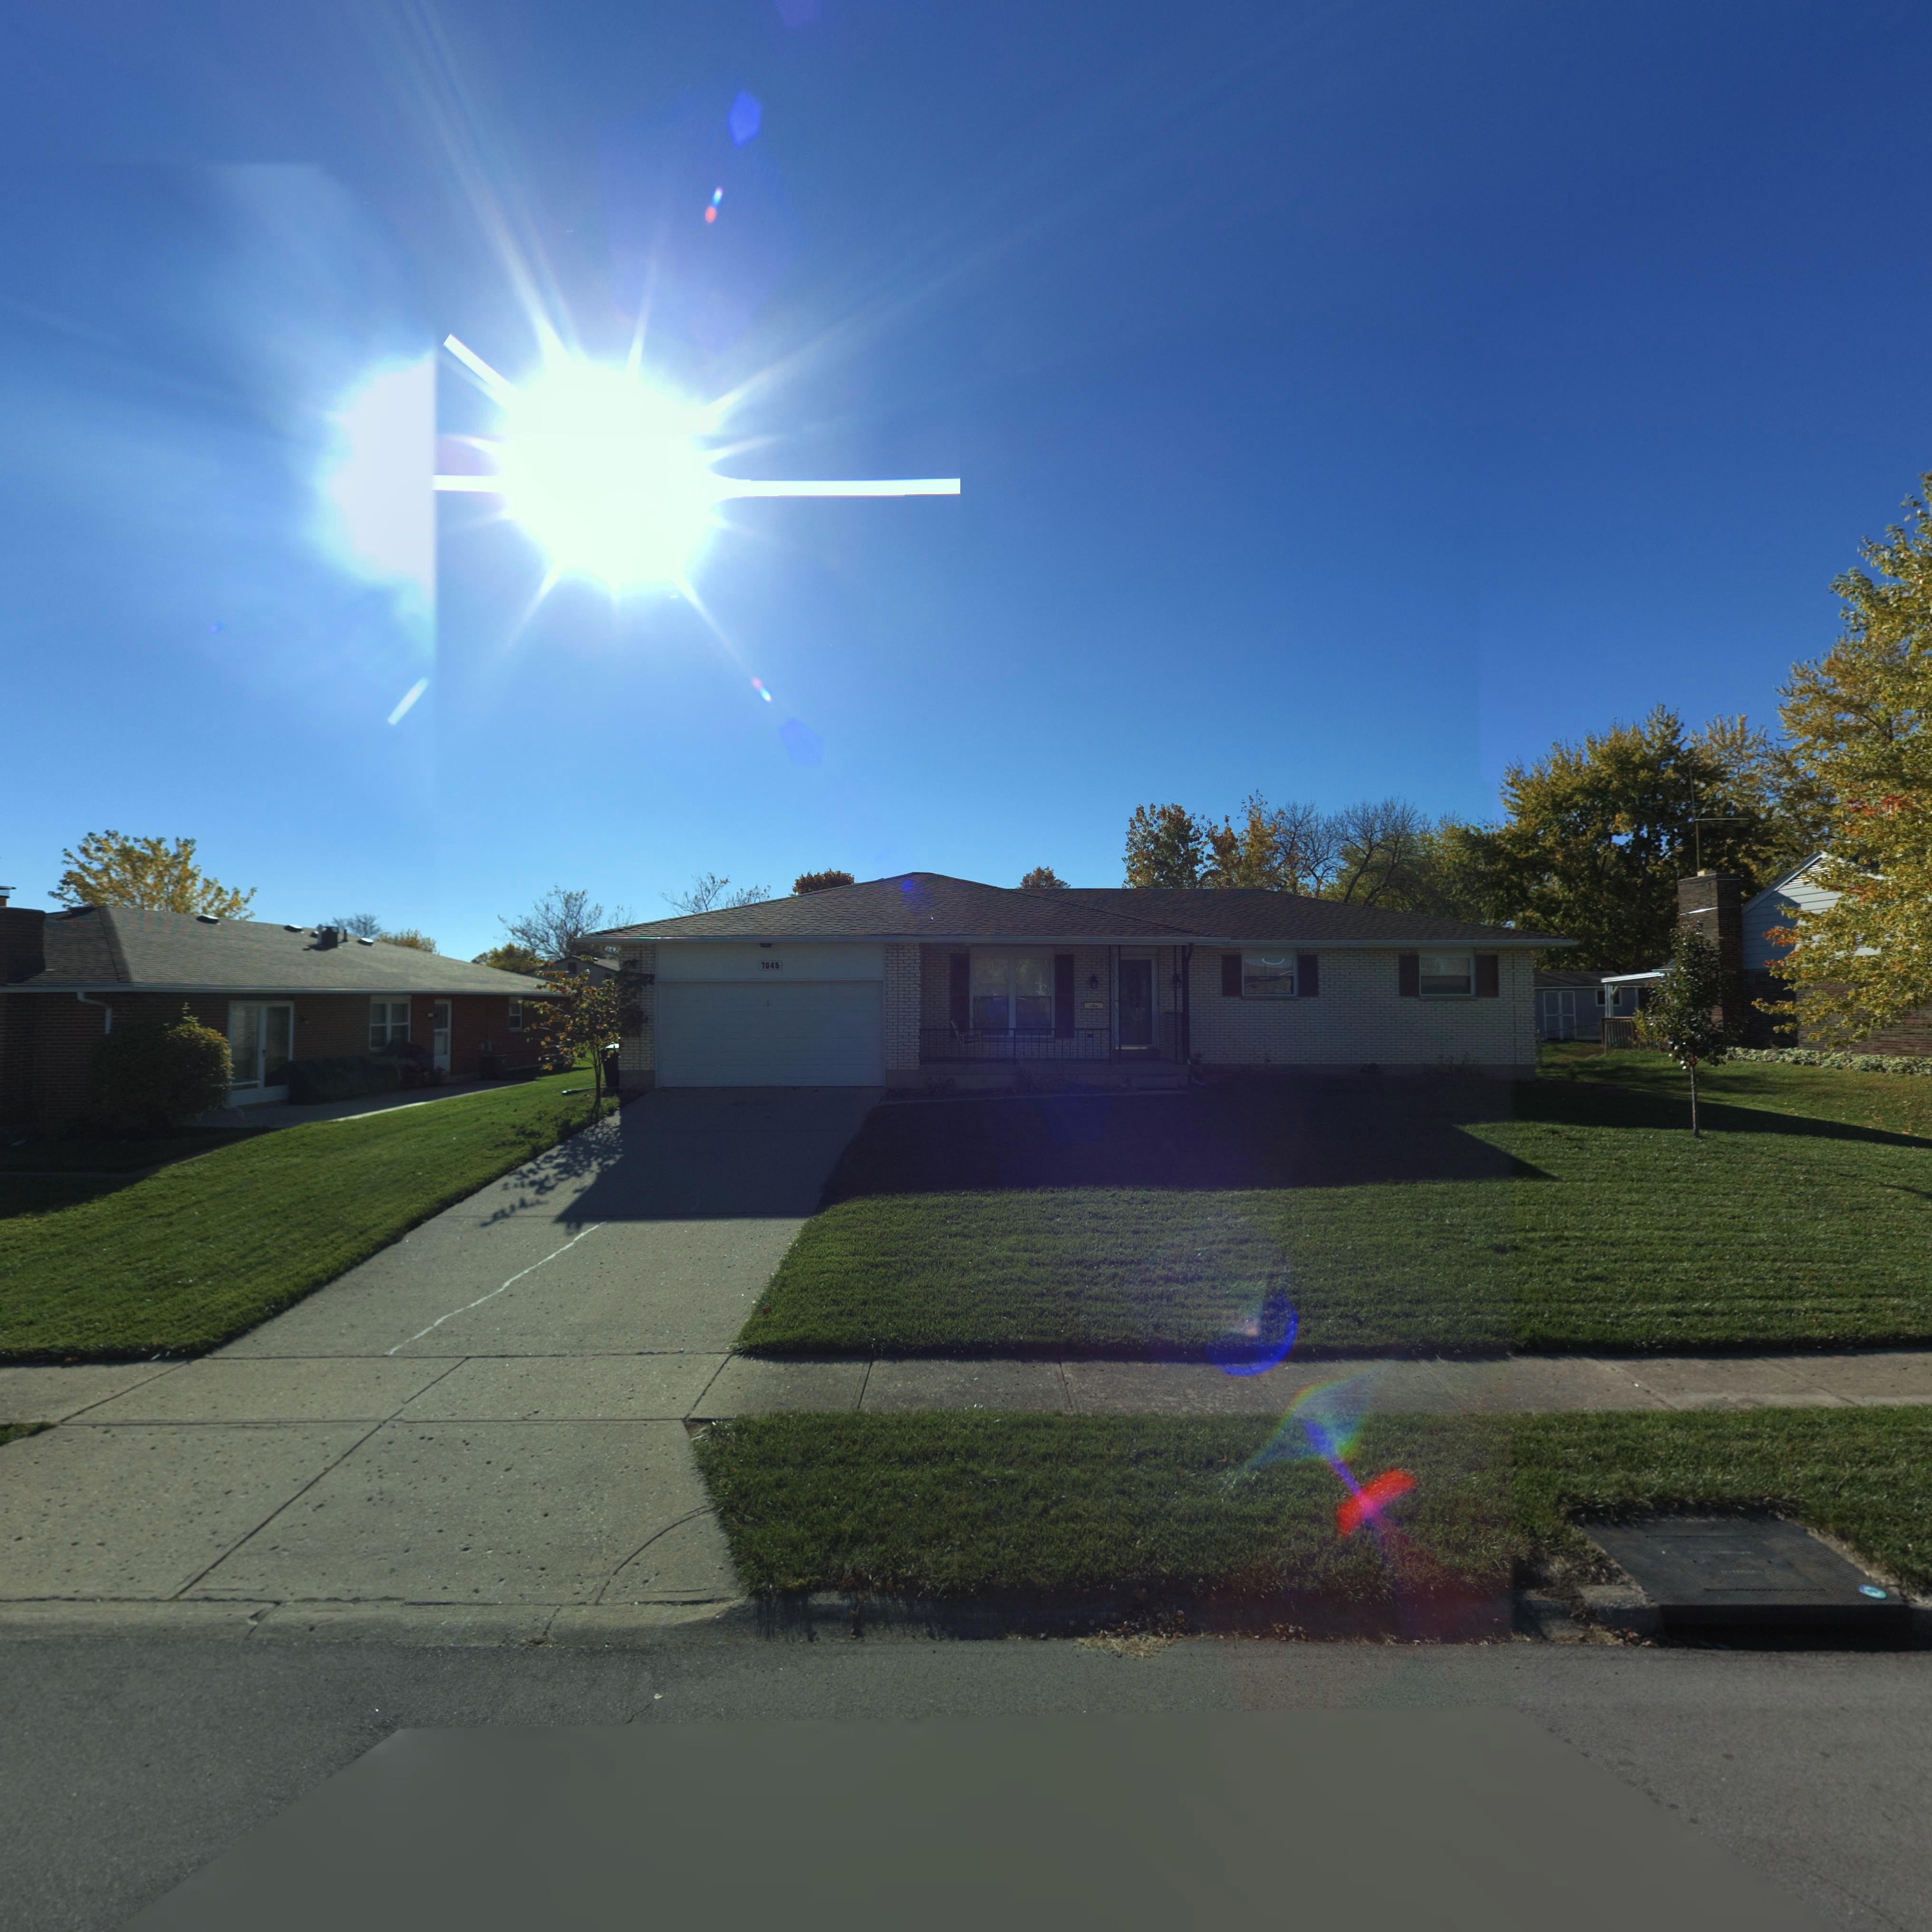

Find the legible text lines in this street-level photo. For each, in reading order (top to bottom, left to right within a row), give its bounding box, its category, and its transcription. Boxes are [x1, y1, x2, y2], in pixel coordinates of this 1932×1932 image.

[761, 962, 780, 969] StreetNumber: 7045